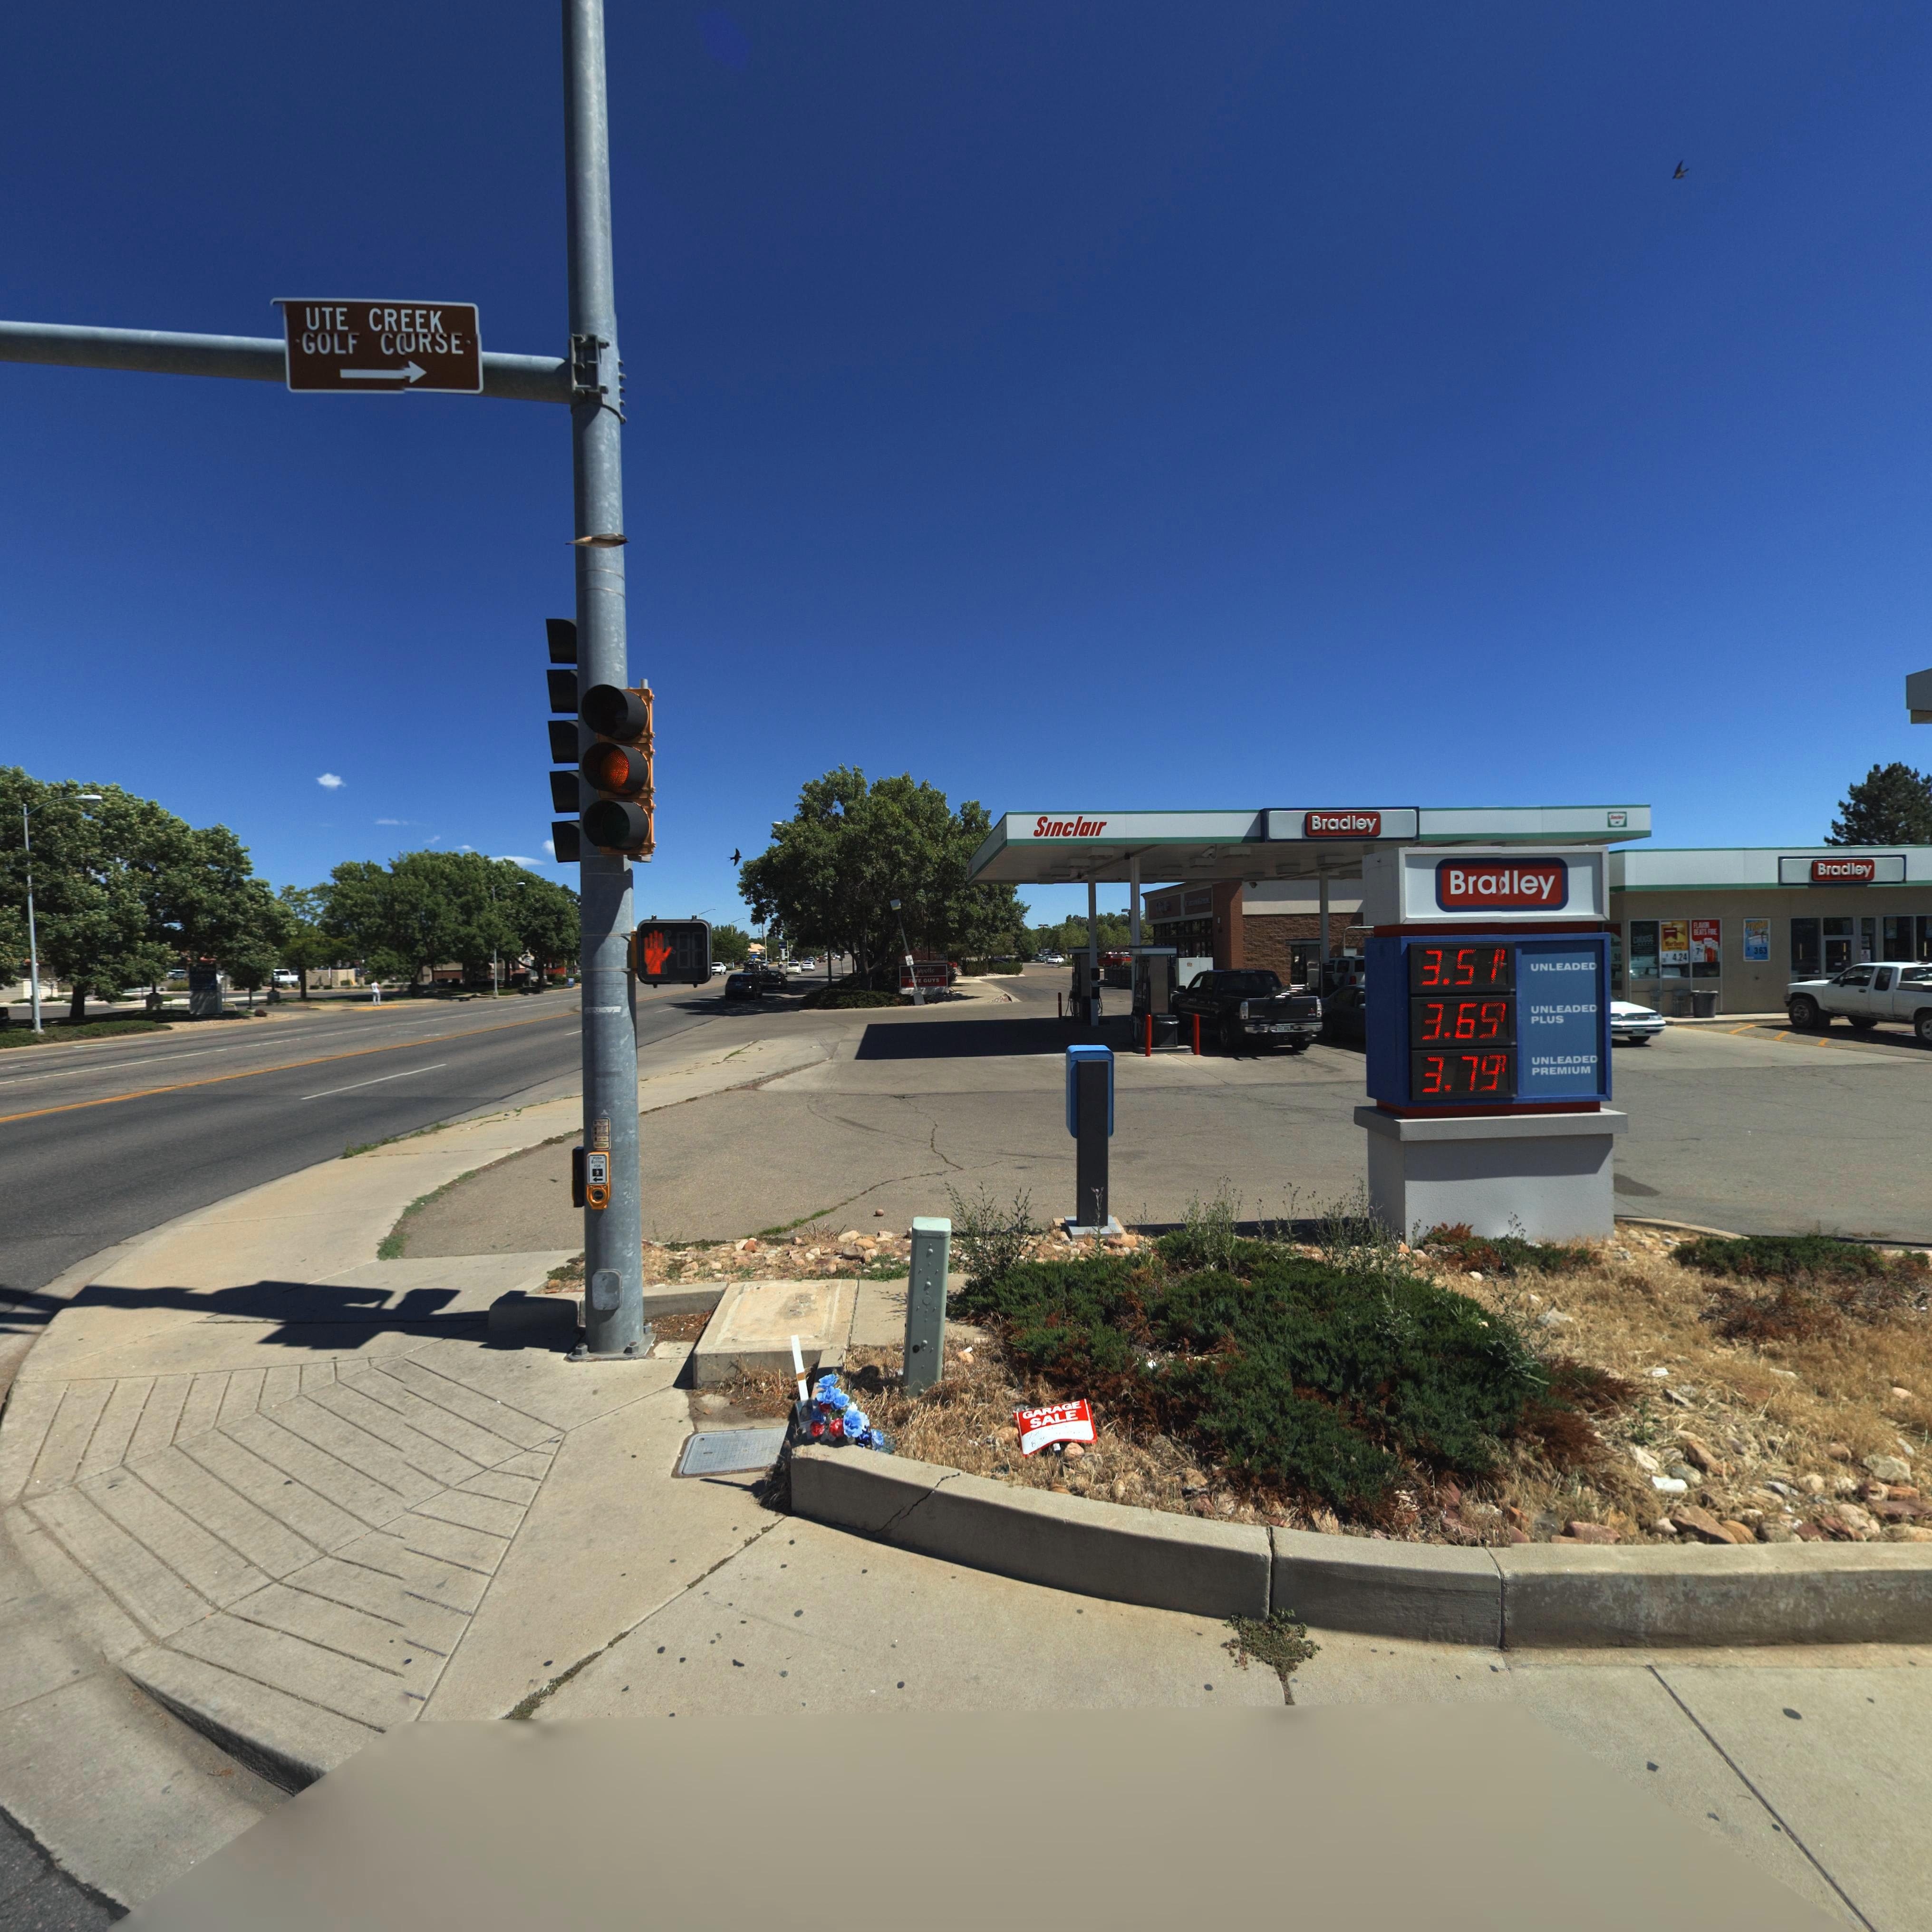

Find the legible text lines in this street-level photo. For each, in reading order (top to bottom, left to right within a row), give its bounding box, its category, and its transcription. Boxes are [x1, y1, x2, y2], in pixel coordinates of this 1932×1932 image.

[1033, 815, 1108, 837] BusinessName: Sinclair
[1311, 814, 1376, 833] BusinessName: Bradley
[1609, 814, 1625, 819] BusinessName: Sin*****
[1817, 862, 1873, 878] BusinessName: Bradley
[1449, 867, 1555, 900] BusinessName: Bra*ley
[911, 966, 935, 975] BusinessName: *hipotle
[908, 978, 939, 983] BusinessName: FIVE GUYS